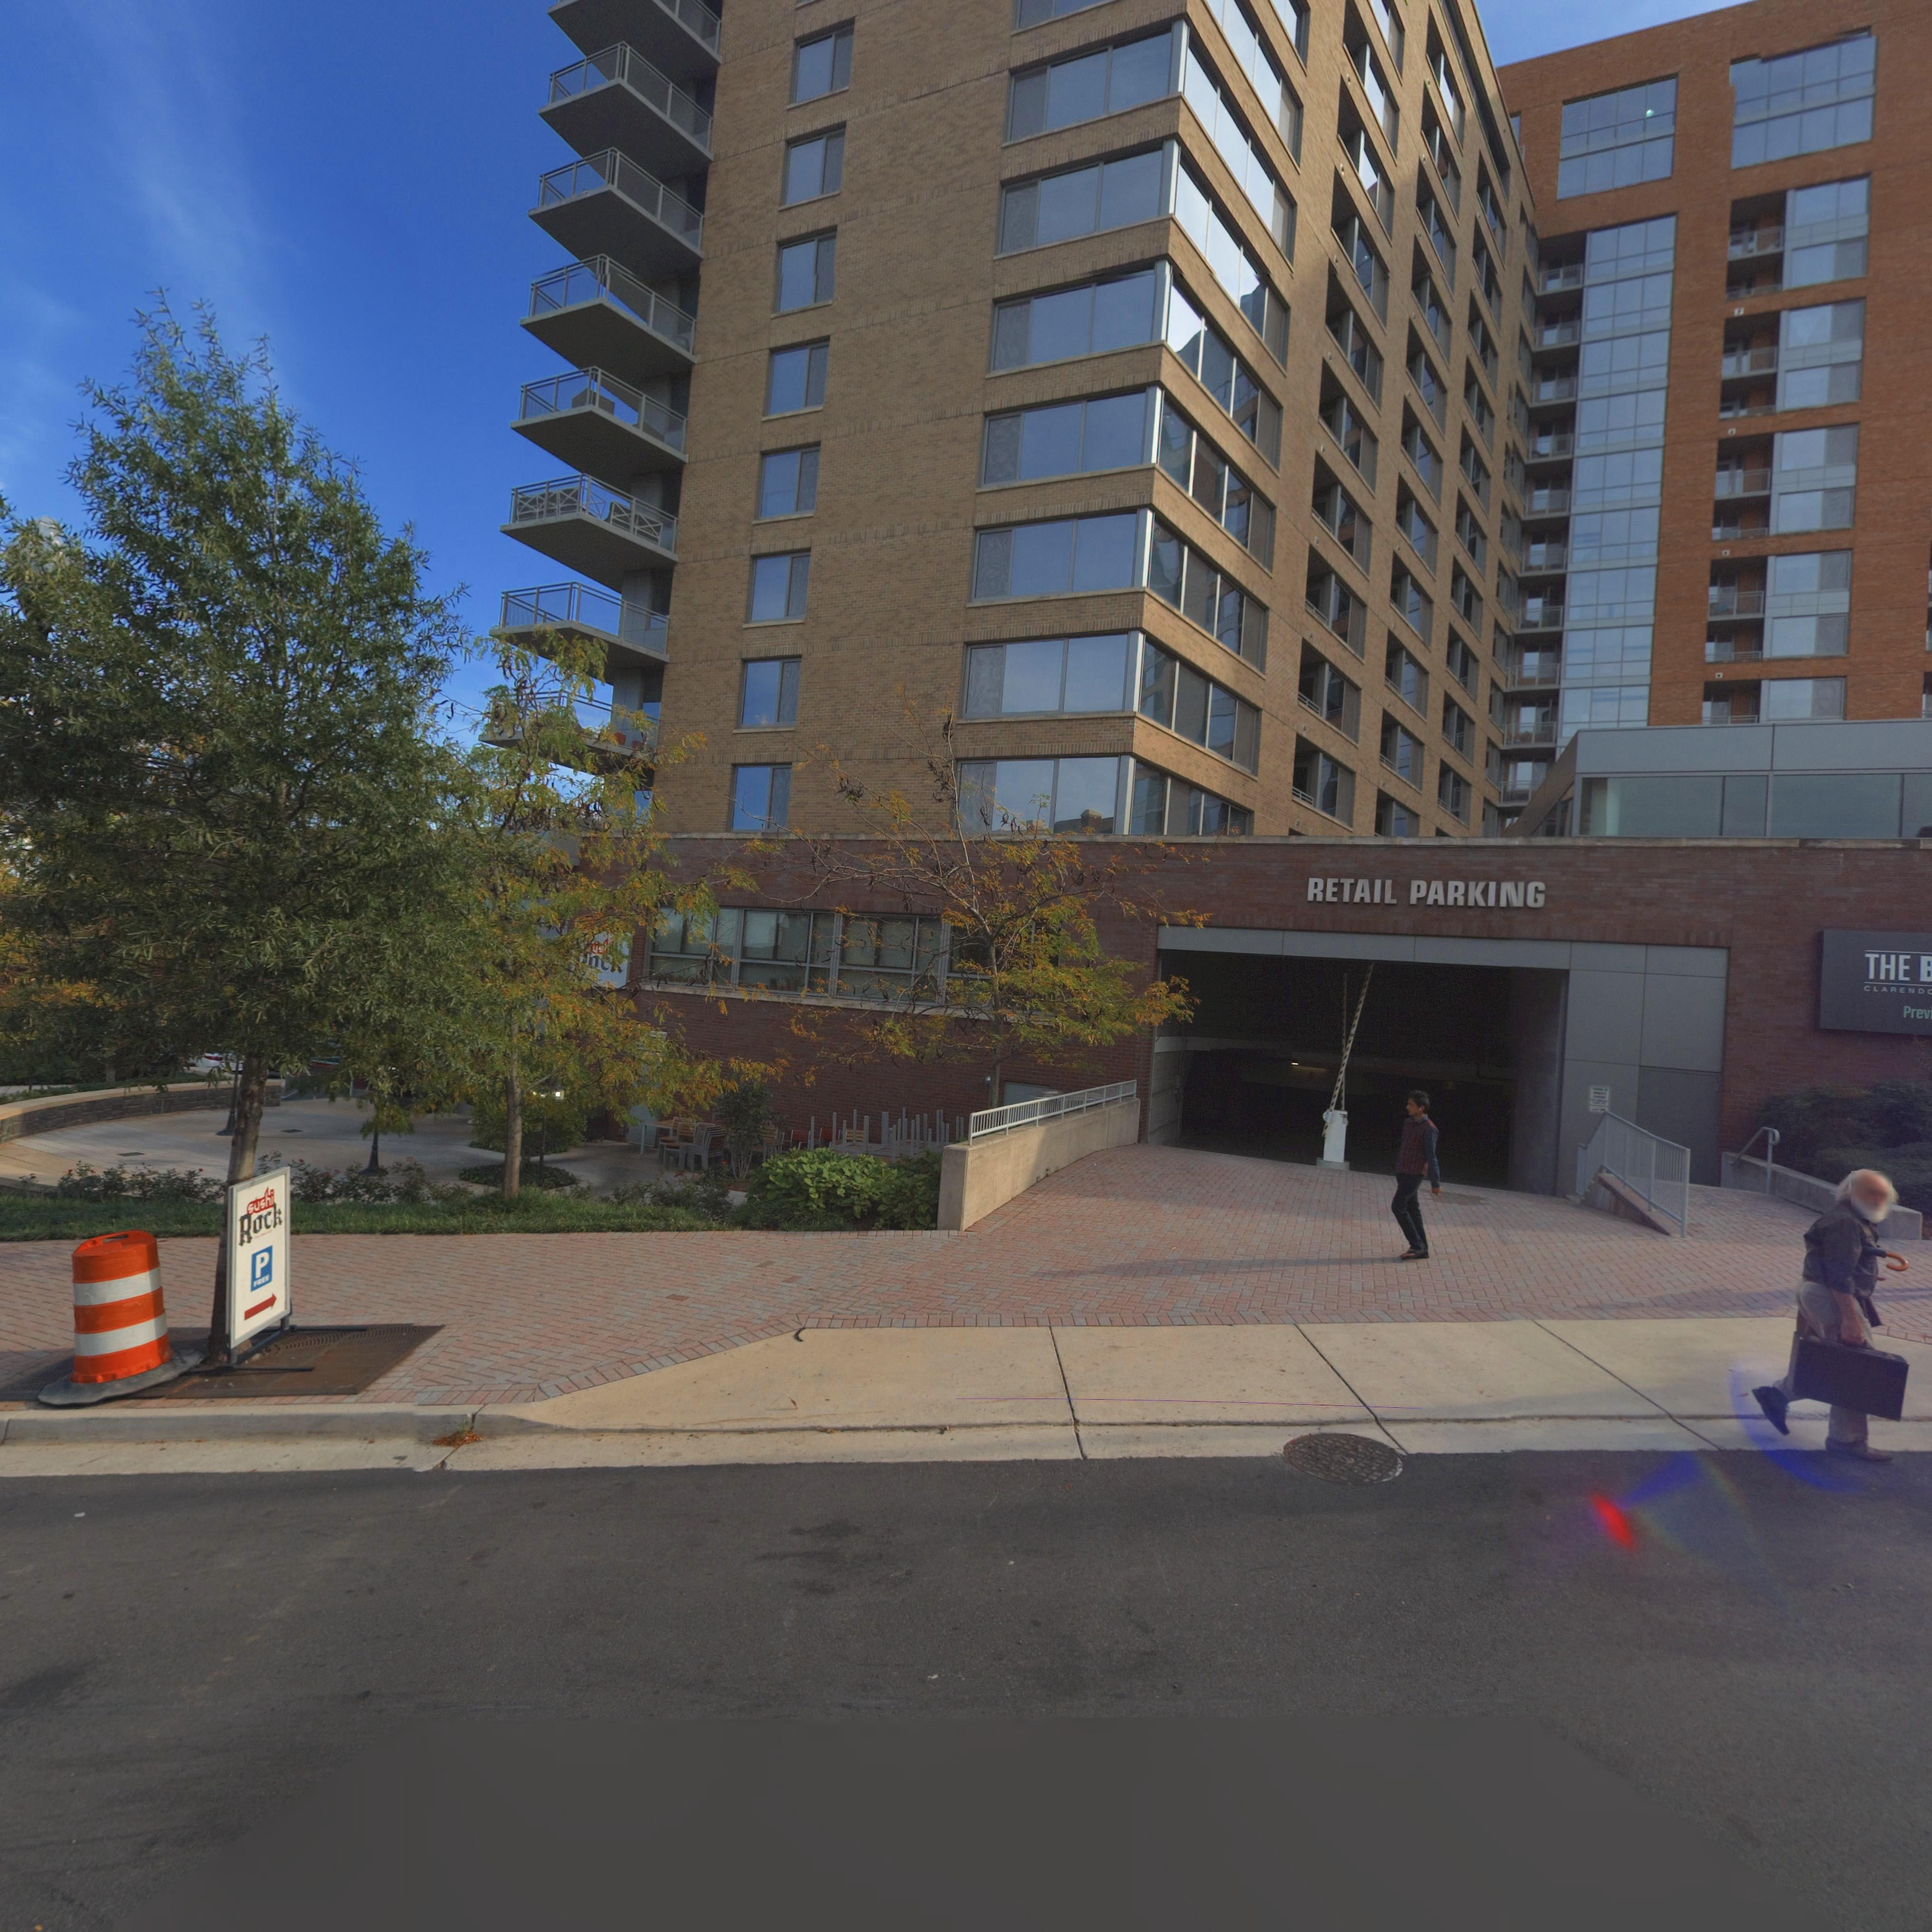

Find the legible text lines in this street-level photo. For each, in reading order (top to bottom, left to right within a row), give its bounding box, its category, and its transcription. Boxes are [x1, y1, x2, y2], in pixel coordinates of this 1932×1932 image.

[1305, 875, 1548, 910] None: RETAIL PARKI*G
[1862, 950, 1913, 983] None: THE
[1862, 984, 1926, 995] None: CLAREND
[1902, 1004, 1932, 1021] None: Prev
[246, 1186, 275, 1215] BusinessName: sushi
[237, 1200, 284, 1249] BusinessName: Rock
[253, 1249, 271, 1280] None: P